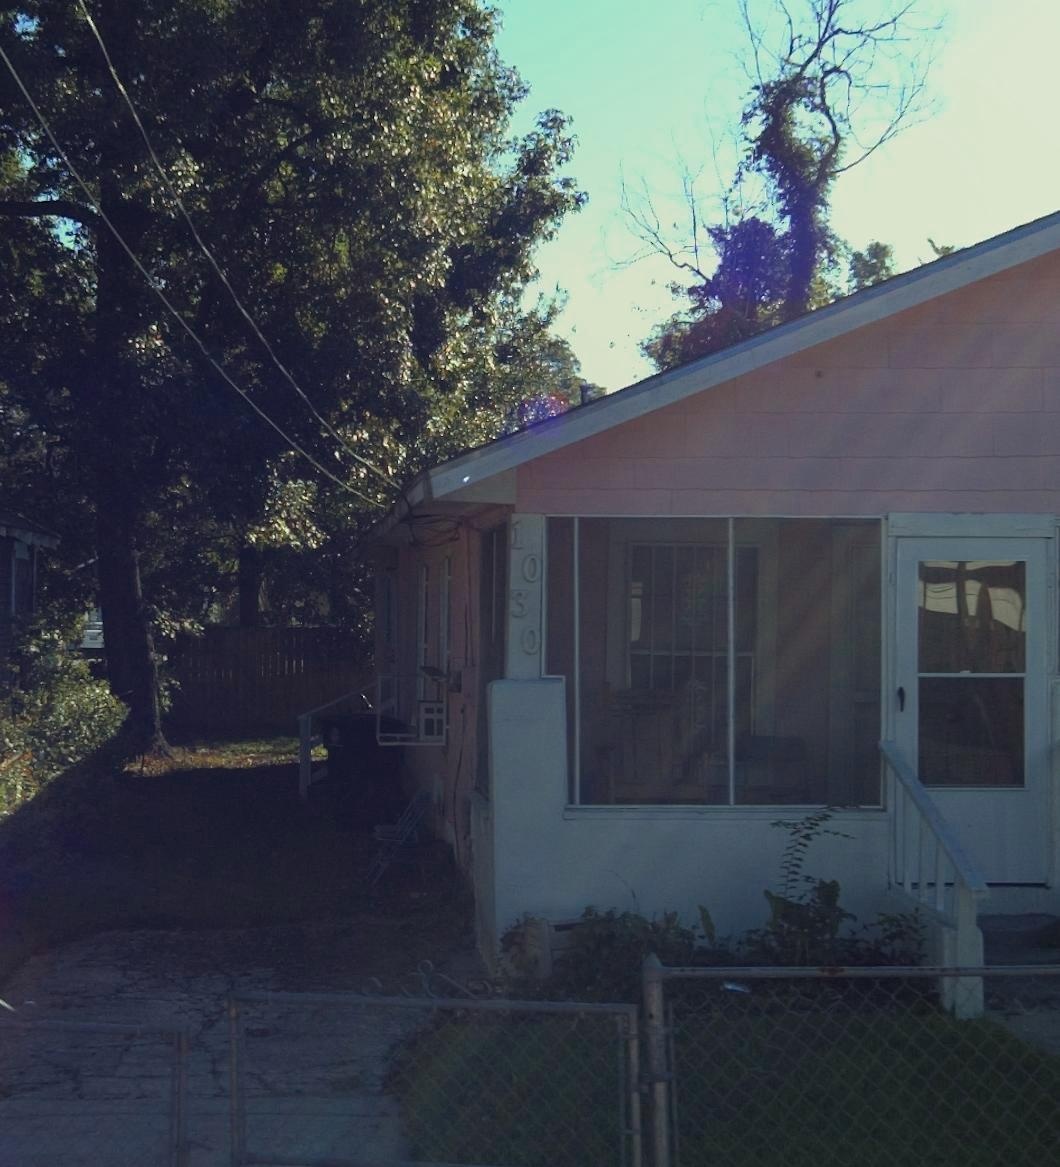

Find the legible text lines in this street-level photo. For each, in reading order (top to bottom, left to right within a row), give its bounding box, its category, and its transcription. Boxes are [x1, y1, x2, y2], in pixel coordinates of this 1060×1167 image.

[509, 518, 543, 656] StreetNumber: 1030